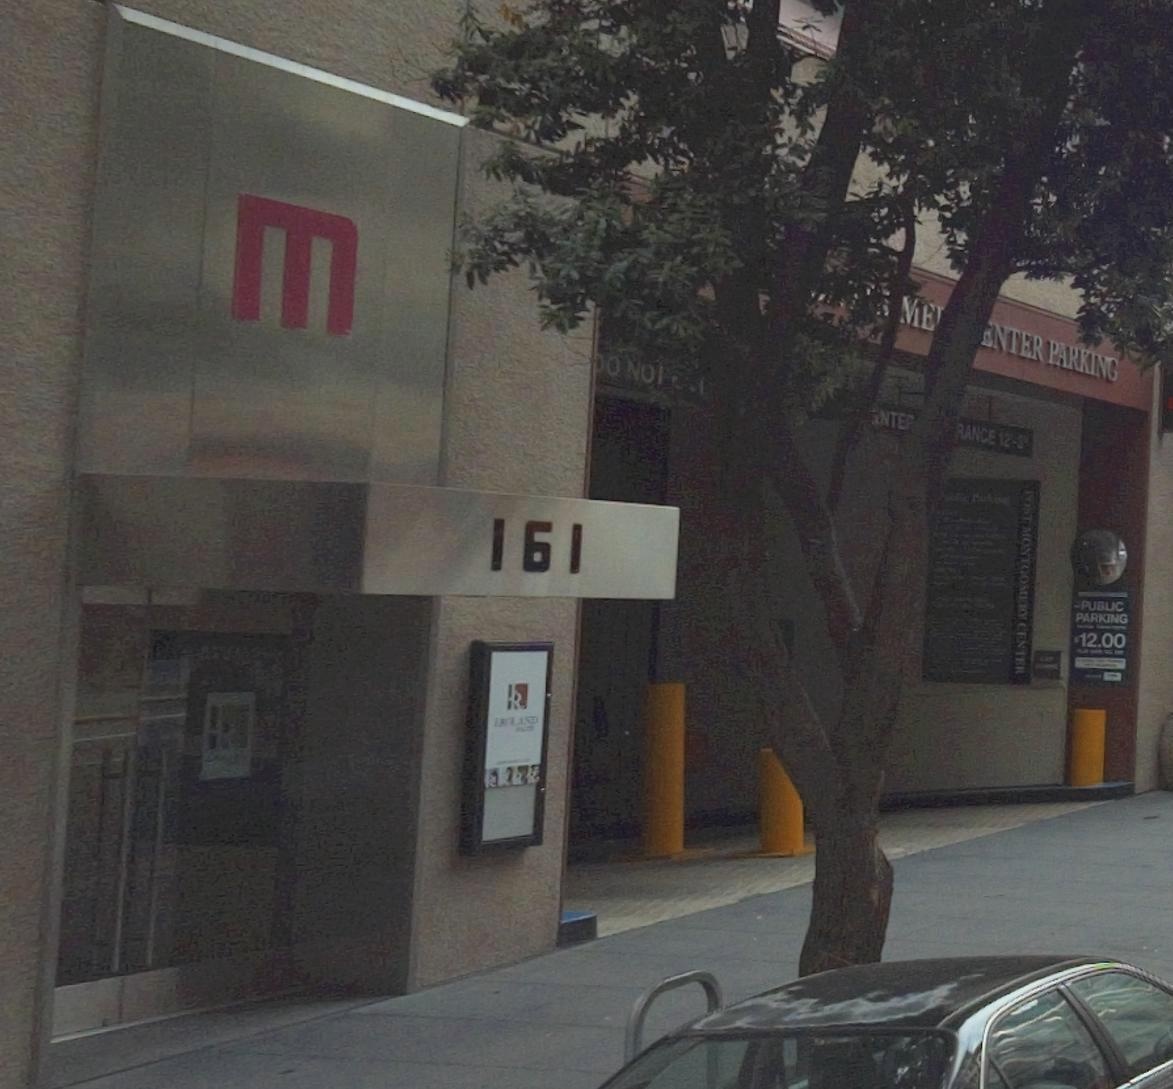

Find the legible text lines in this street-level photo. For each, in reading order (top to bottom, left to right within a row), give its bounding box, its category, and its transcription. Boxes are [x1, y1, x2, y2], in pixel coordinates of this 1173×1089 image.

[230, 188, 361, 341] None: M
[992, 319, 1120, 385] None: NTER PARKING
[604, 353, 659, 387] None: O NO
[889, 408, 908, 433] None: TE
[961, 422, 1027, 452] None: ANCE 12'-8
[490, 516, 584, 576] StreetNumber: 161
[1074, 611, 1130, 625] None: PARKING
[1080, 599, 1126, 613] None: PUBLIC
[1078, 631, 1128, 649] None: 12.00